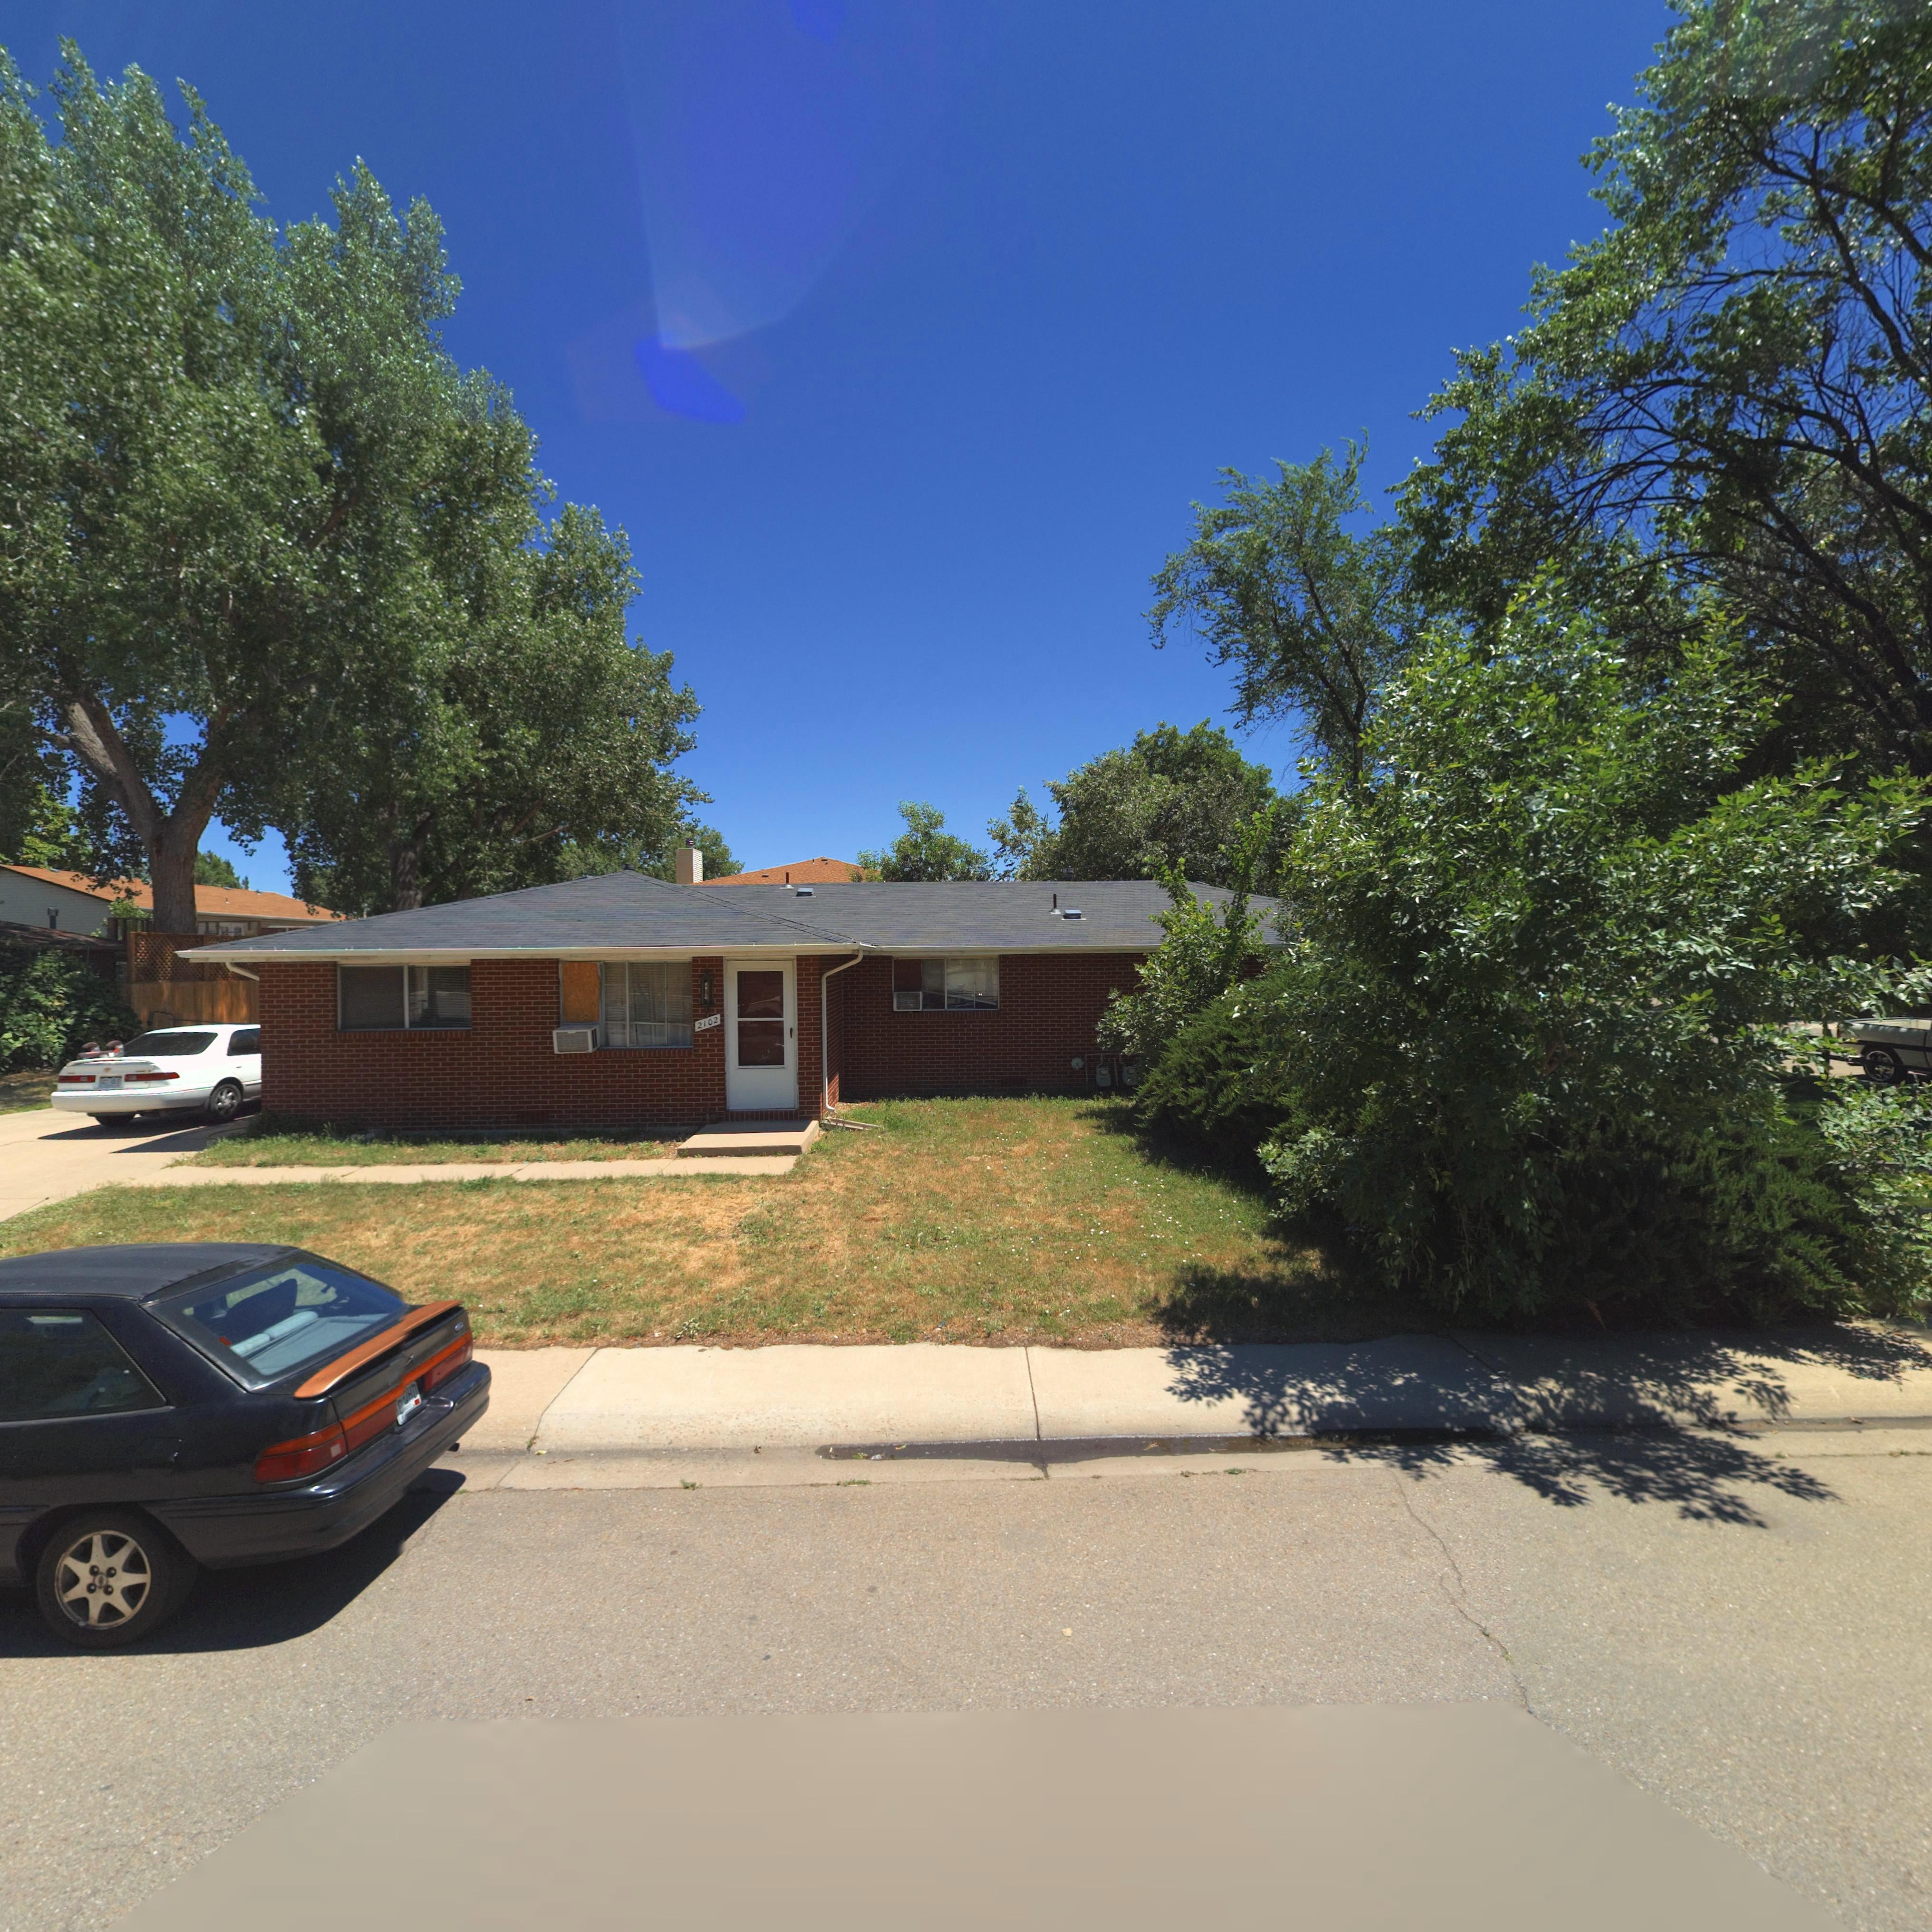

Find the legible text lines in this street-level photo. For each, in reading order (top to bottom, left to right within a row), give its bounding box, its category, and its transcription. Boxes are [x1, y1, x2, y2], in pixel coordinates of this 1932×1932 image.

[696, 1015, 719, 1030] StreetNumber: 2102